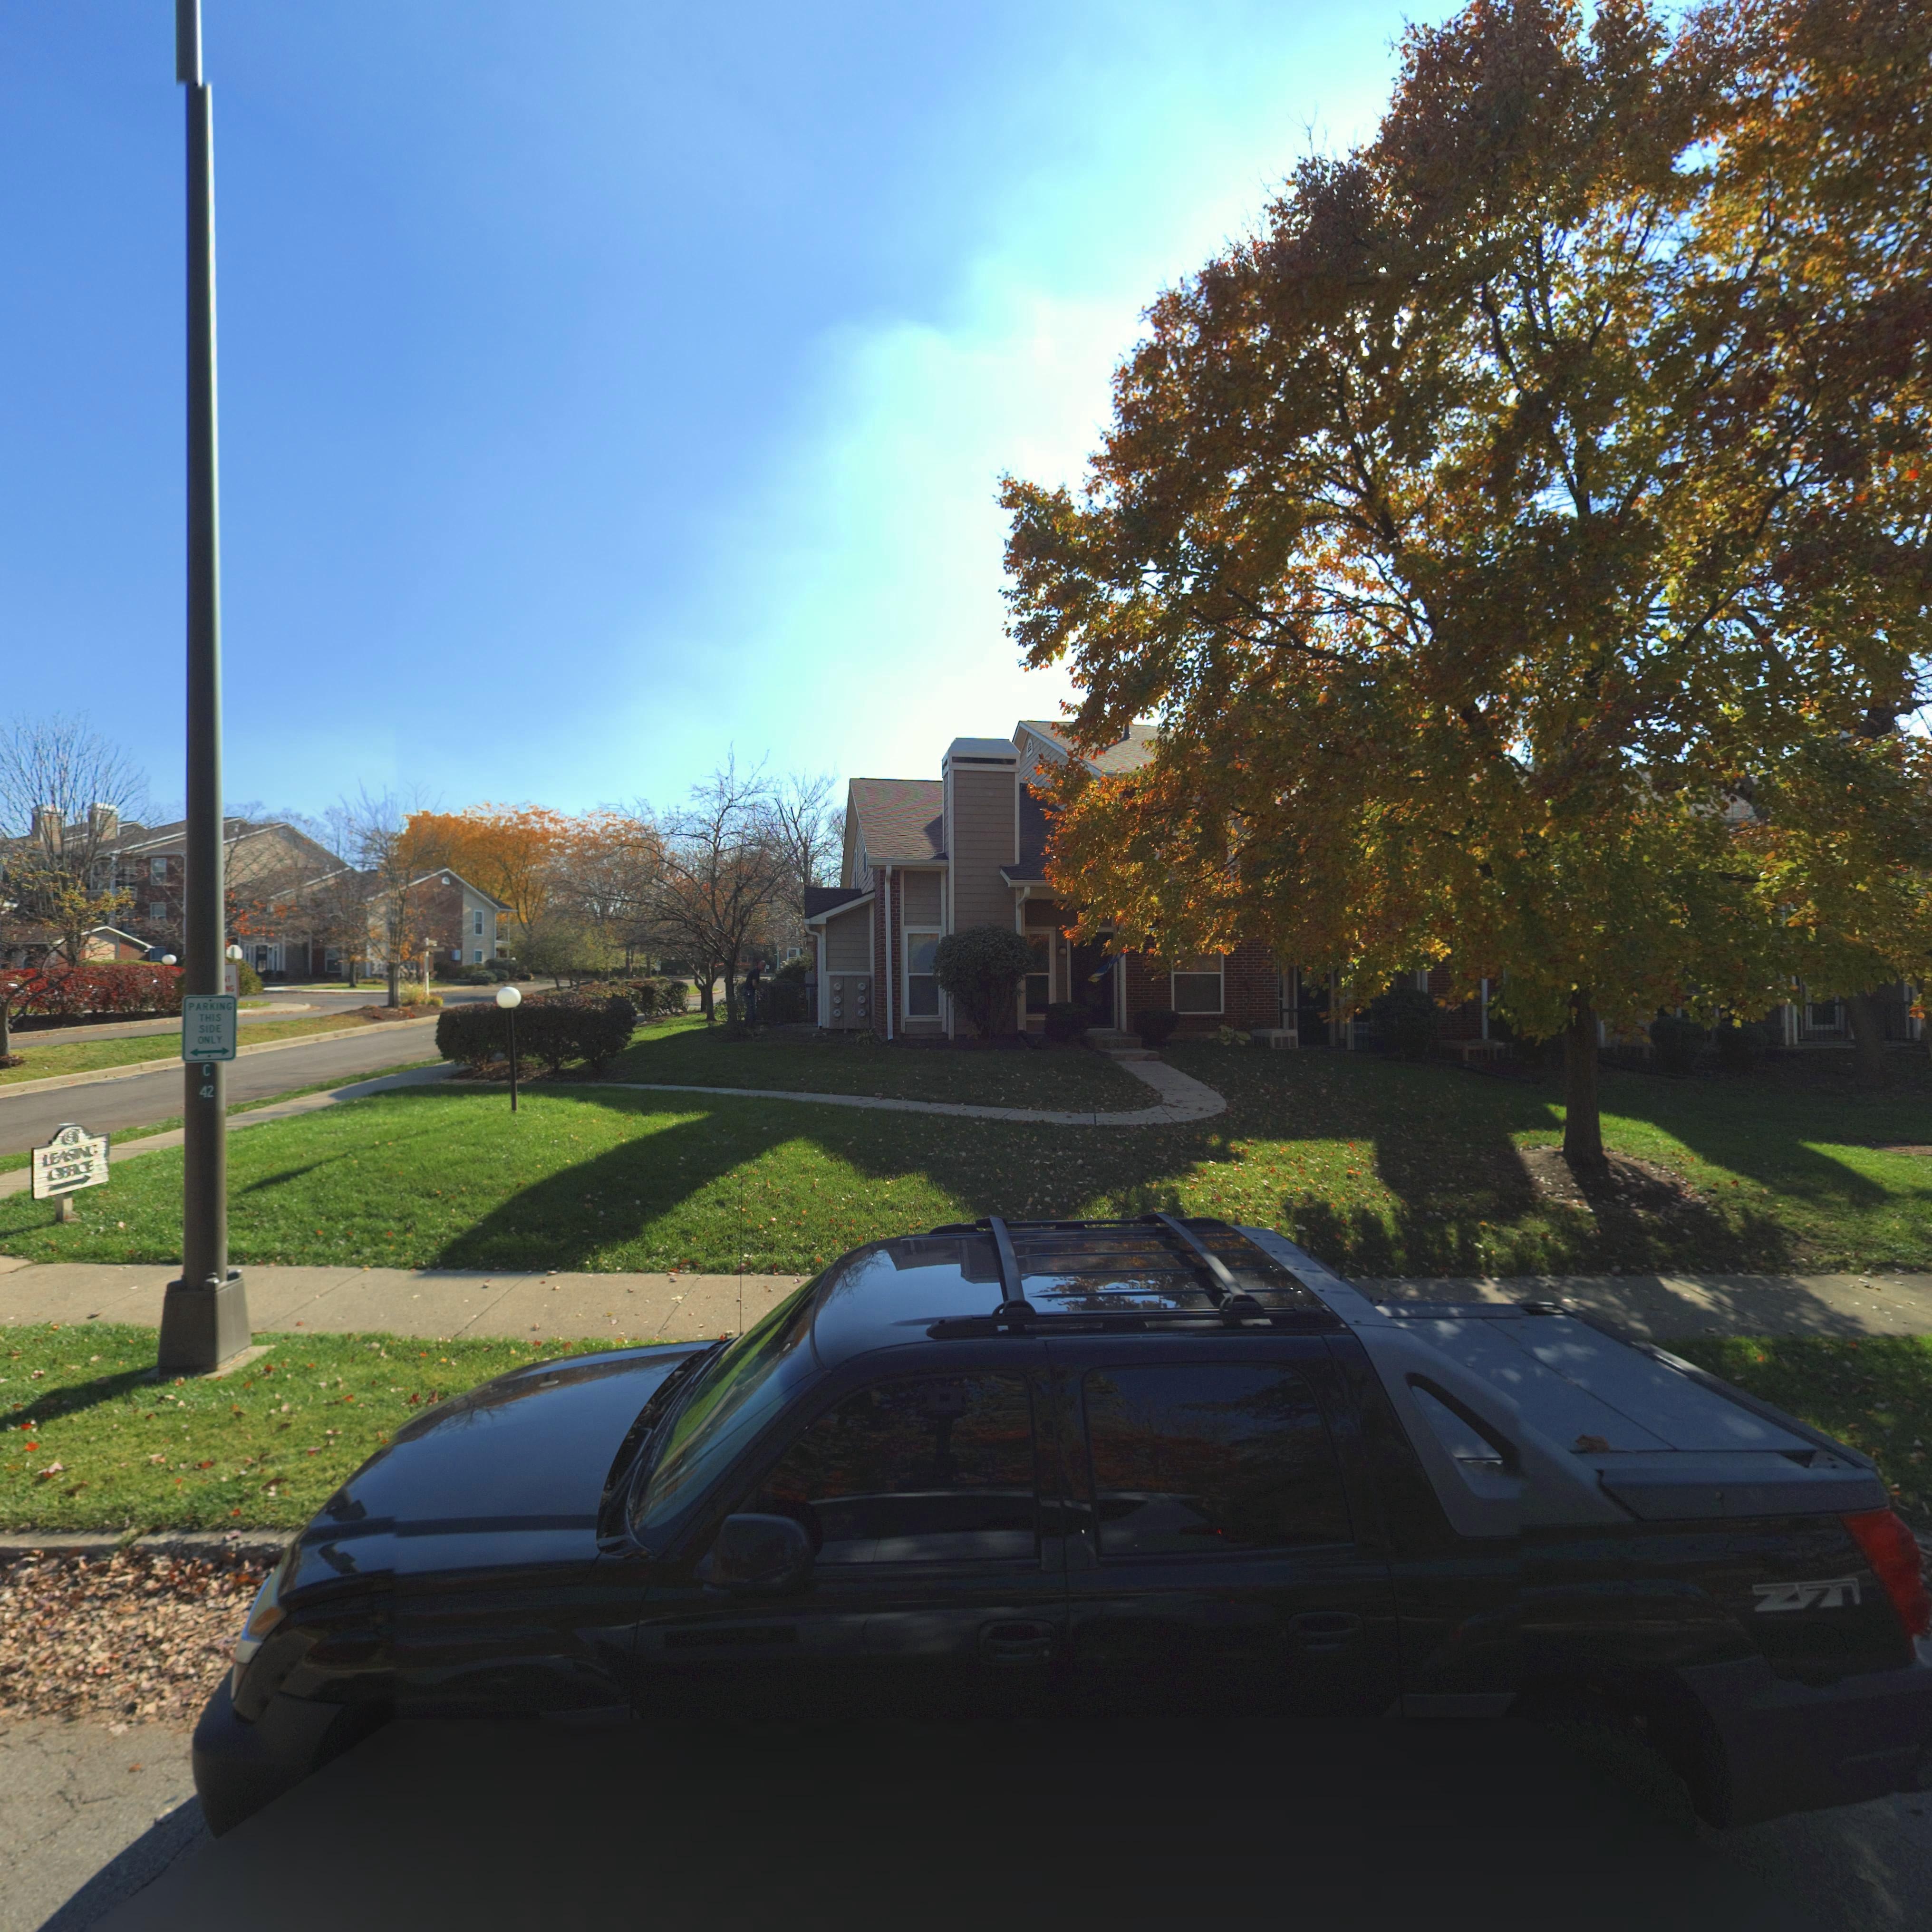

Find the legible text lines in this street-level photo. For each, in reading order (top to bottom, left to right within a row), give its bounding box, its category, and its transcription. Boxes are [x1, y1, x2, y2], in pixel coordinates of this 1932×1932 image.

[187, 1000, 233, 1011] None: PARKING
[198, 1013, 222, 1022] None: THIS
[198, 1023, 221, 1033] None: SIDE
[196, 1035, 222, 1043] None: ONLY
[201, 1062, 211, 1076] None: C
[198, 1084, 214, 1098] None: 42
[43, 1143, 99, 1168] None: LEASING
[48, 1159, 95, 1181] None: OFFICE
[1751, 1581, 1855, 1612] None: Z71